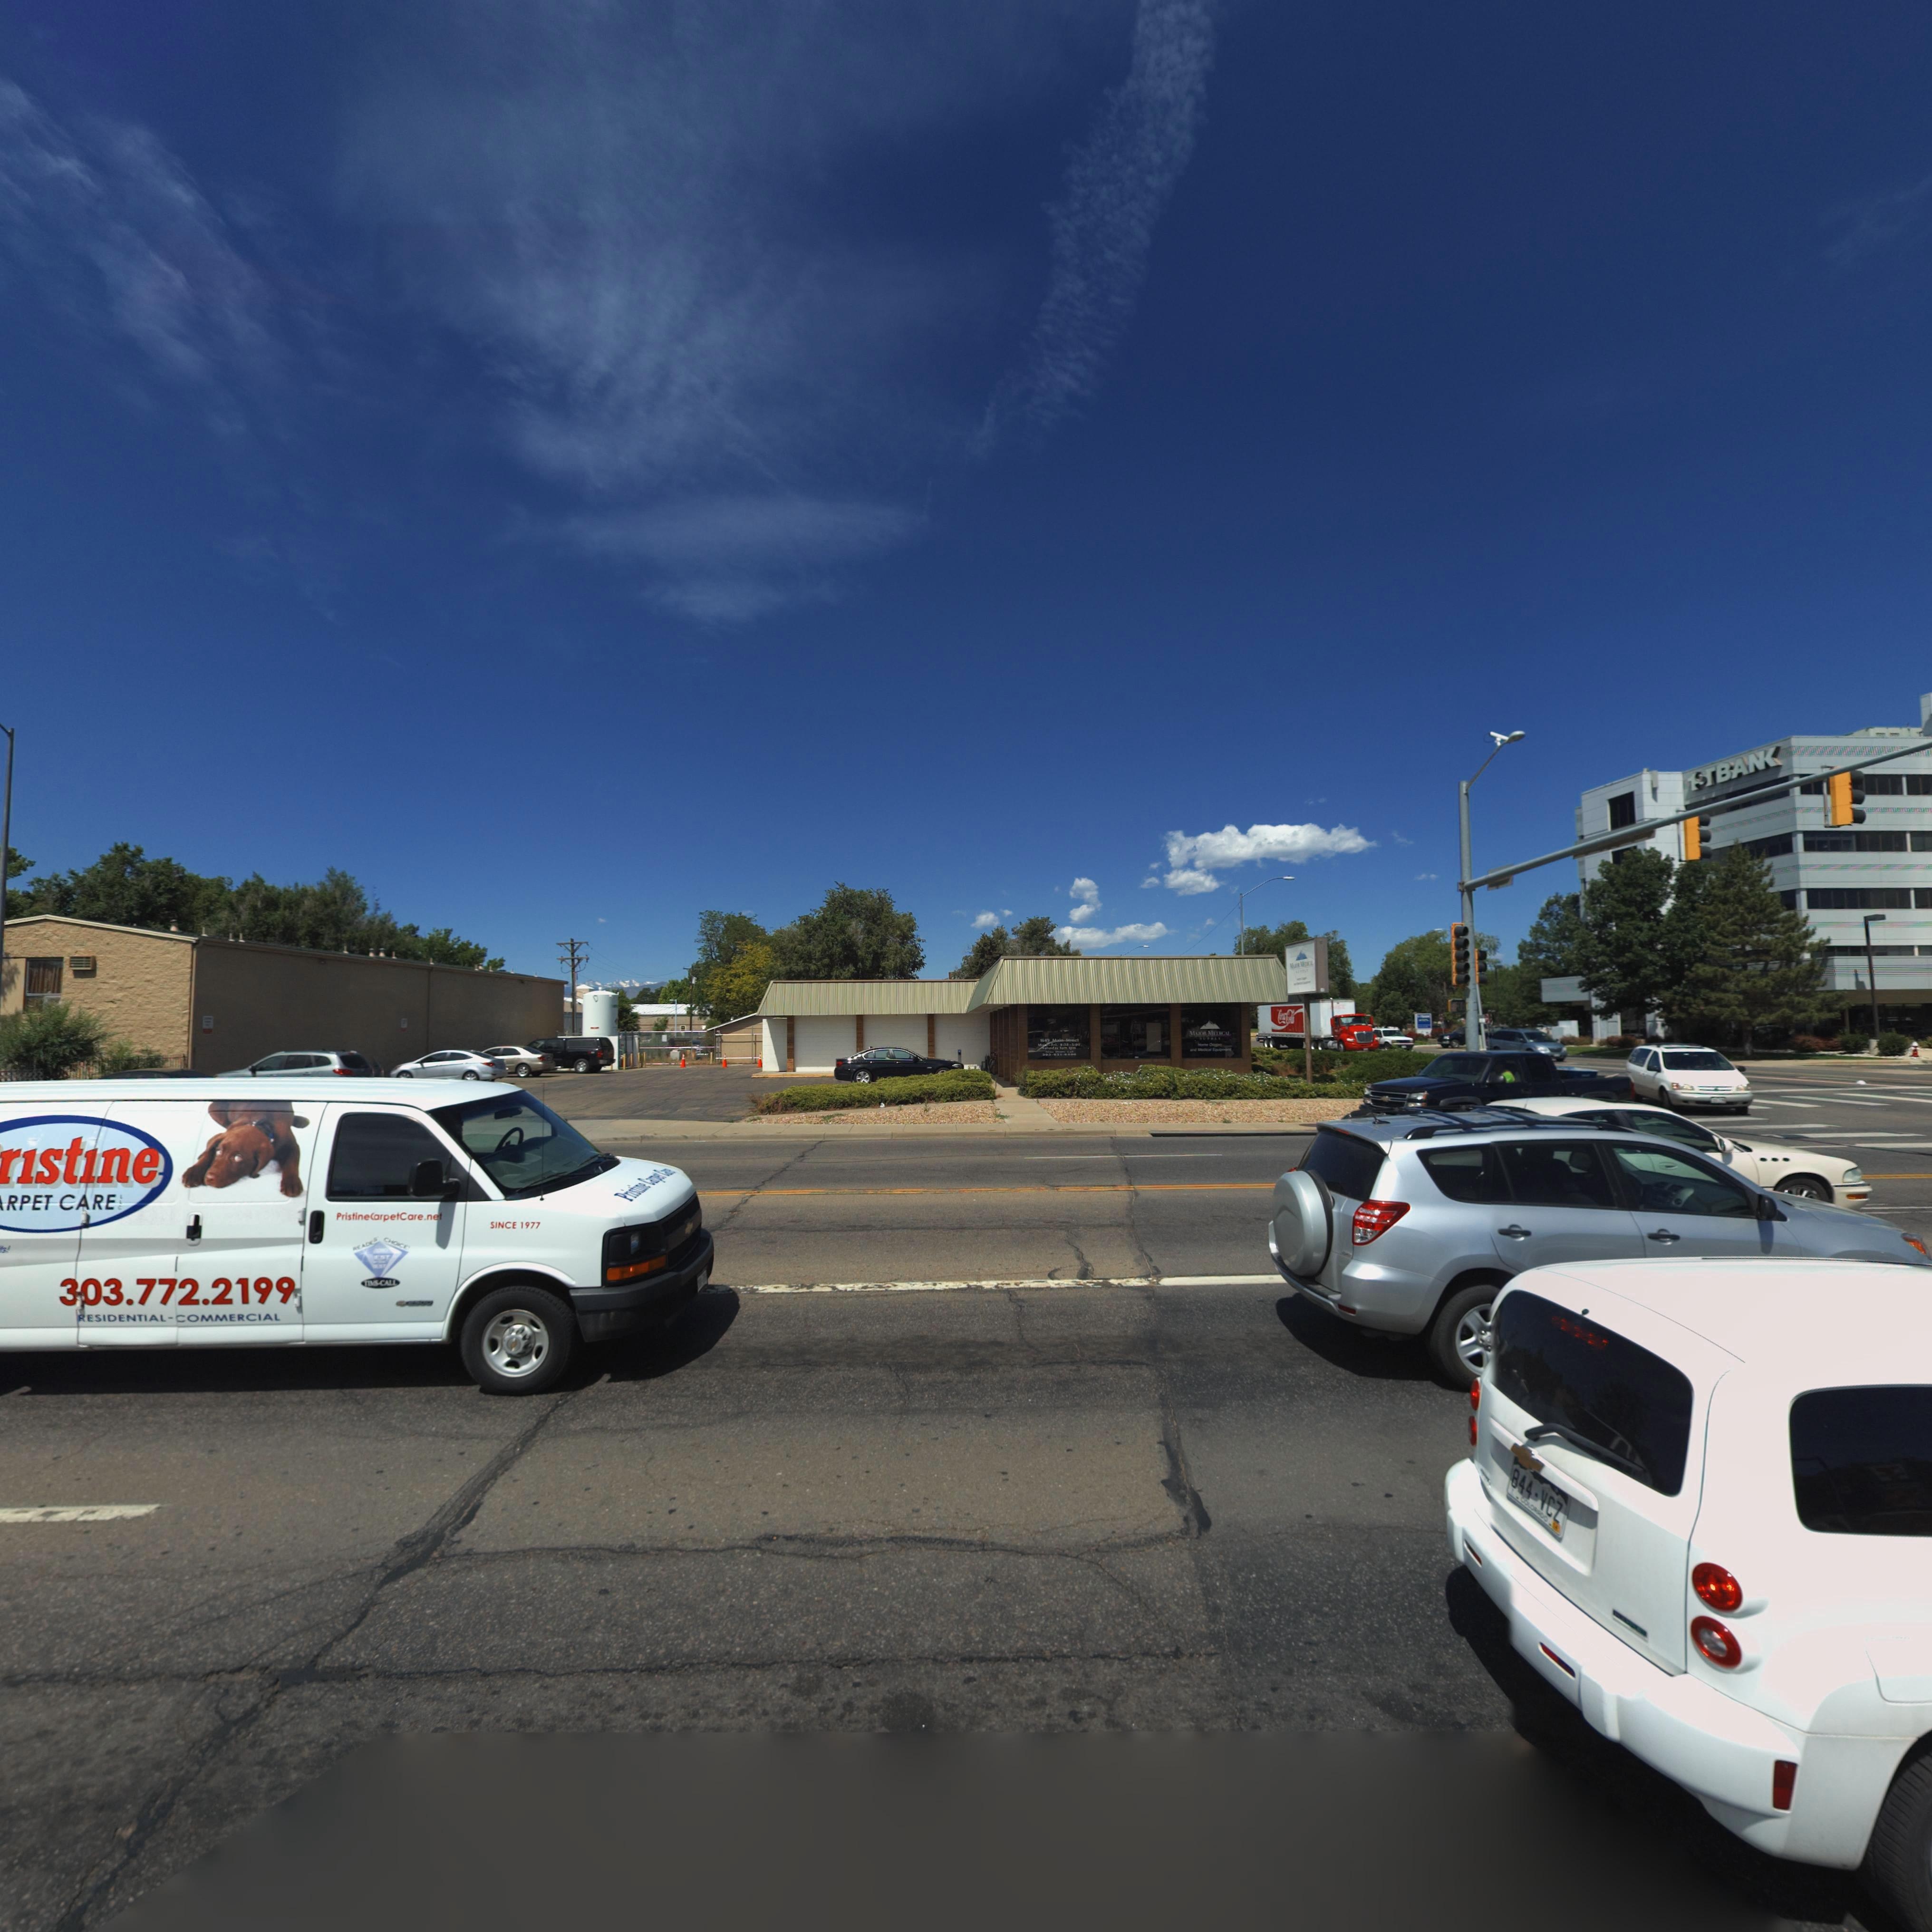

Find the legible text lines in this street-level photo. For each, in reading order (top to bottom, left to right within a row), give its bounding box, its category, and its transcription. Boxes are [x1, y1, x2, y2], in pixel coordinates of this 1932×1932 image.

[1686, 744, 1784, 793] BusinessName: 1STBAN*
[1289, 959, 1314, 969] BusinessName: M**** MED*C**
[1189, 1030, 1231, 1036] BusinessName: M*JOR MED*C*L
[1040, 1038, 1050, 1043] StreetNumber: 1*49
[1052, 1038, 1079, 1042] StreetName: M**n St****